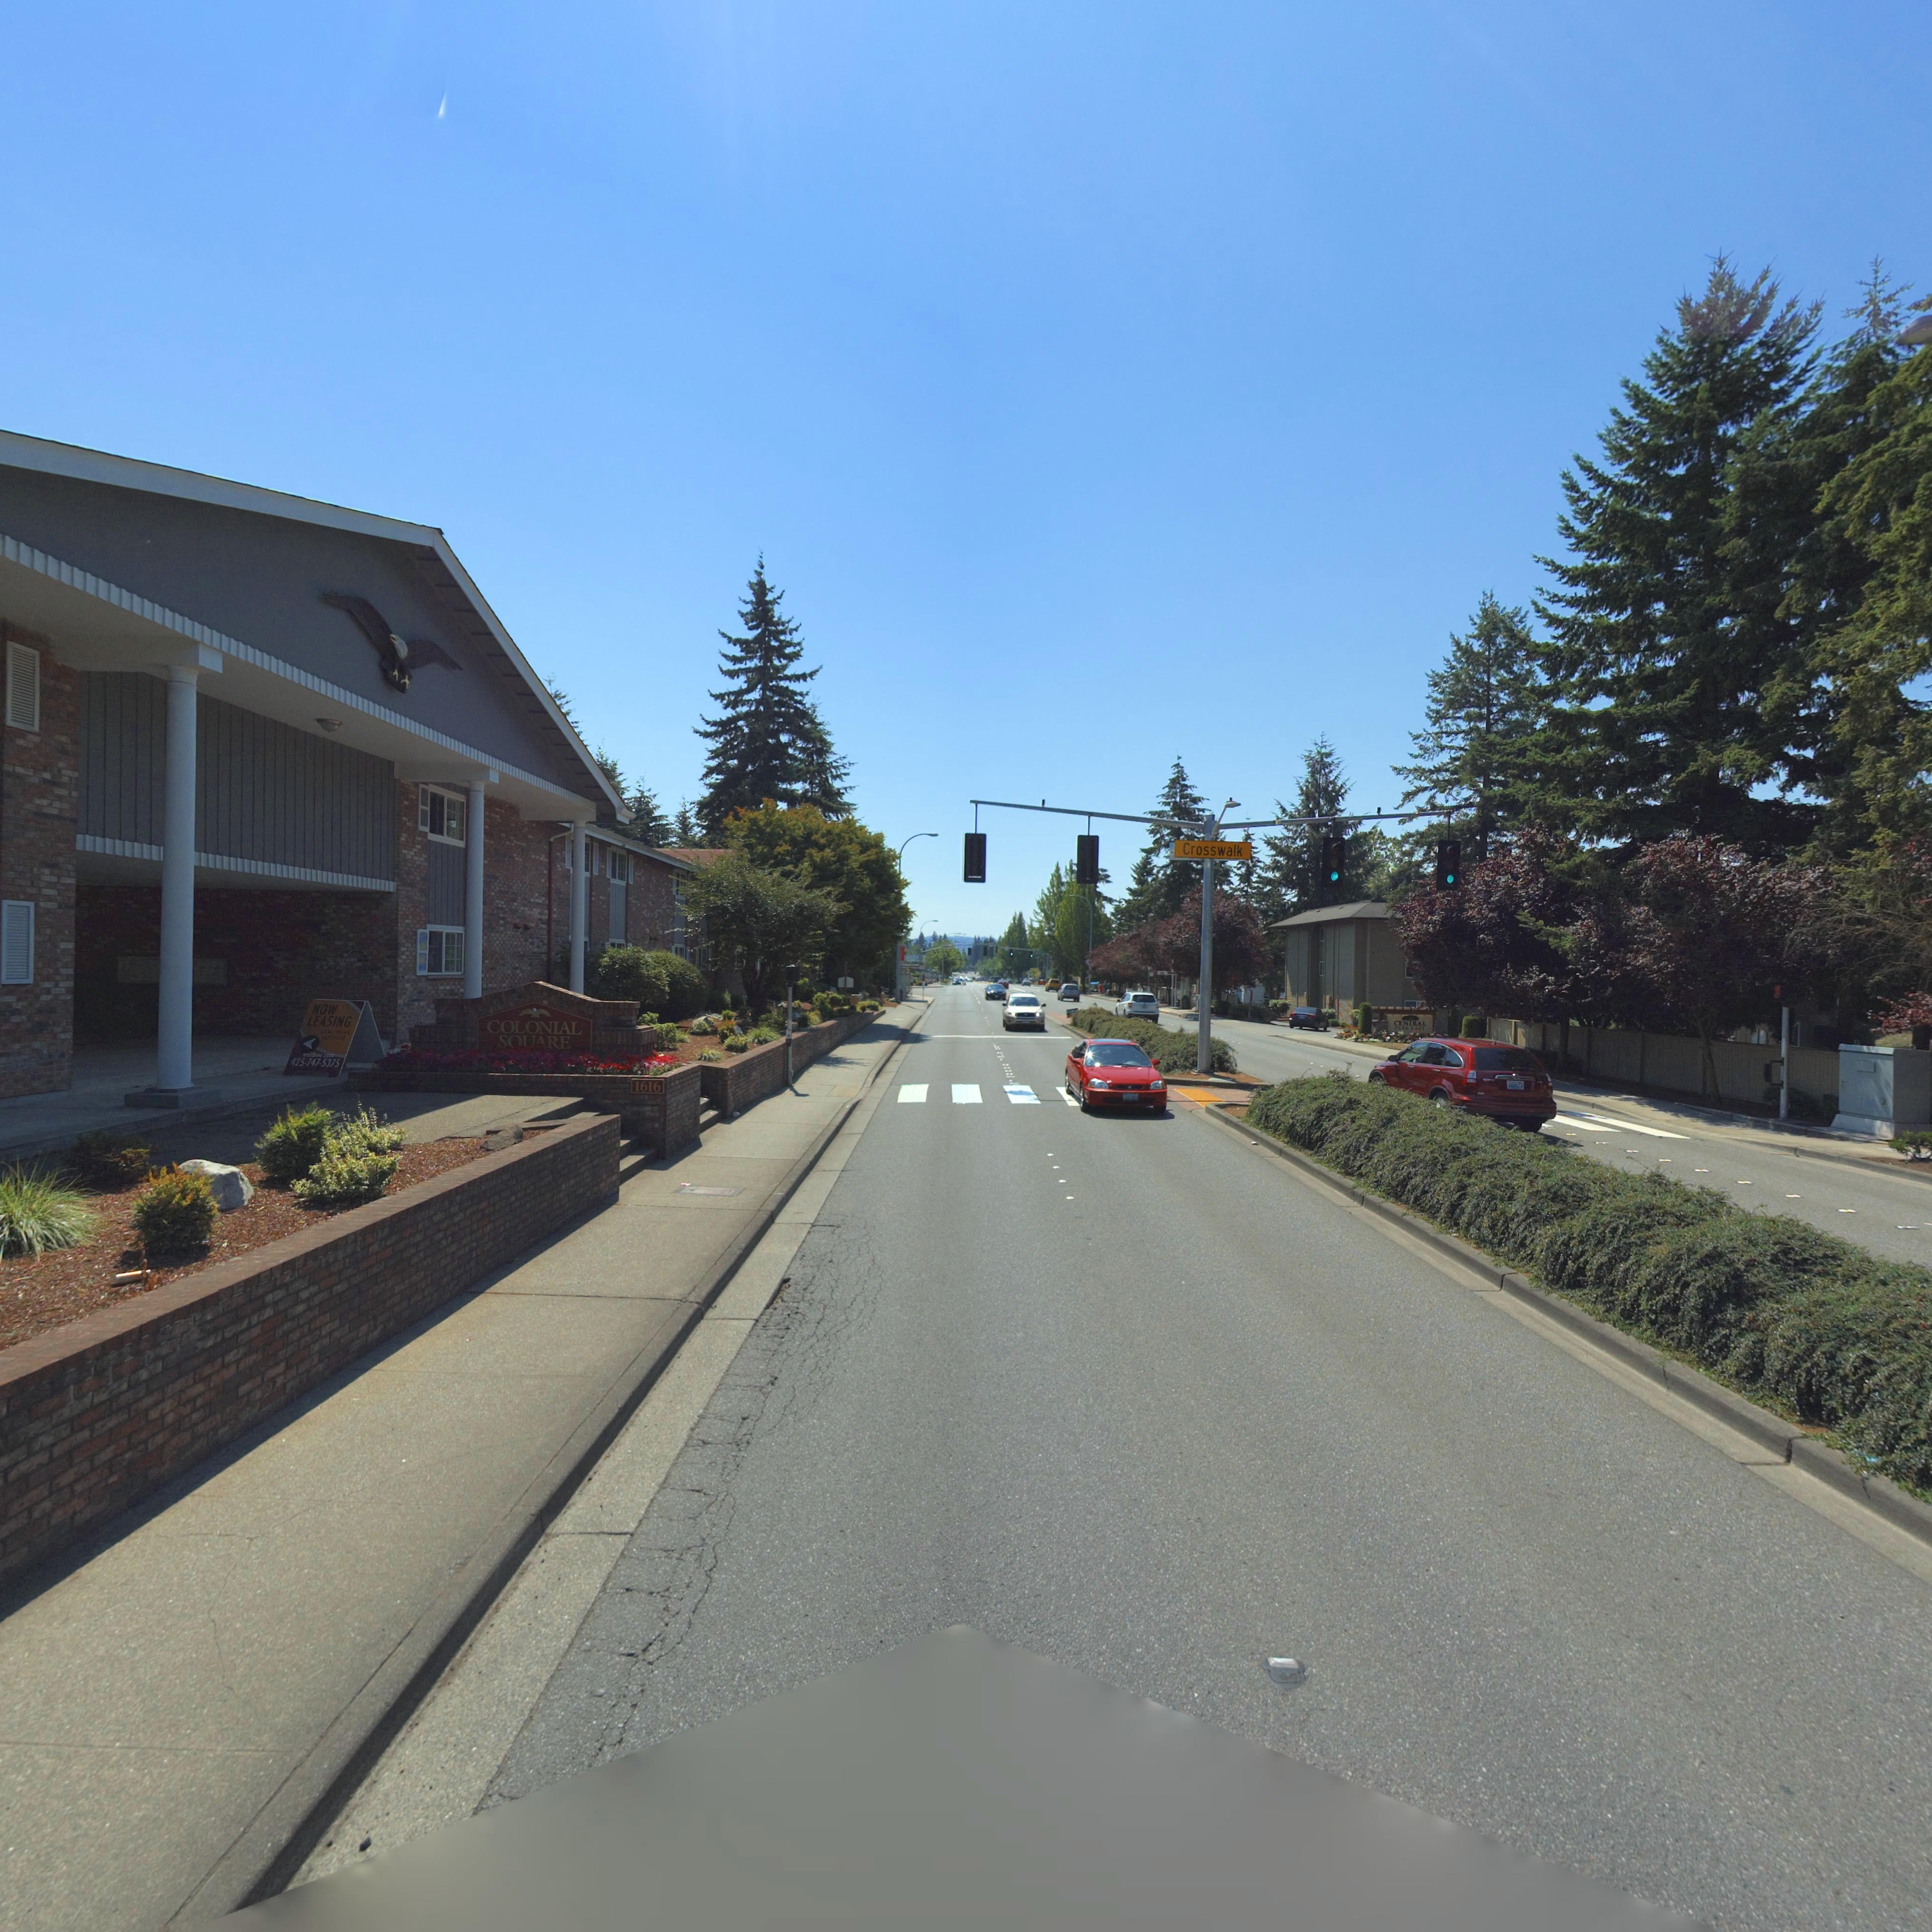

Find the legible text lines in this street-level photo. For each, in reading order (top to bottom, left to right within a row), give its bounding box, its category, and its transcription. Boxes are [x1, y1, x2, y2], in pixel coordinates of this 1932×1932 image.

[1394, 1015, 1426, 1025] BusinessName: CEN*RAL
[1395, 1026, 1424, 1030] BusinessName: PARK EAST
[498, 1035, 570, 1049] BusinessName: S*U*RE
[634, 1081, 639, 1092] StreetNumber: 1